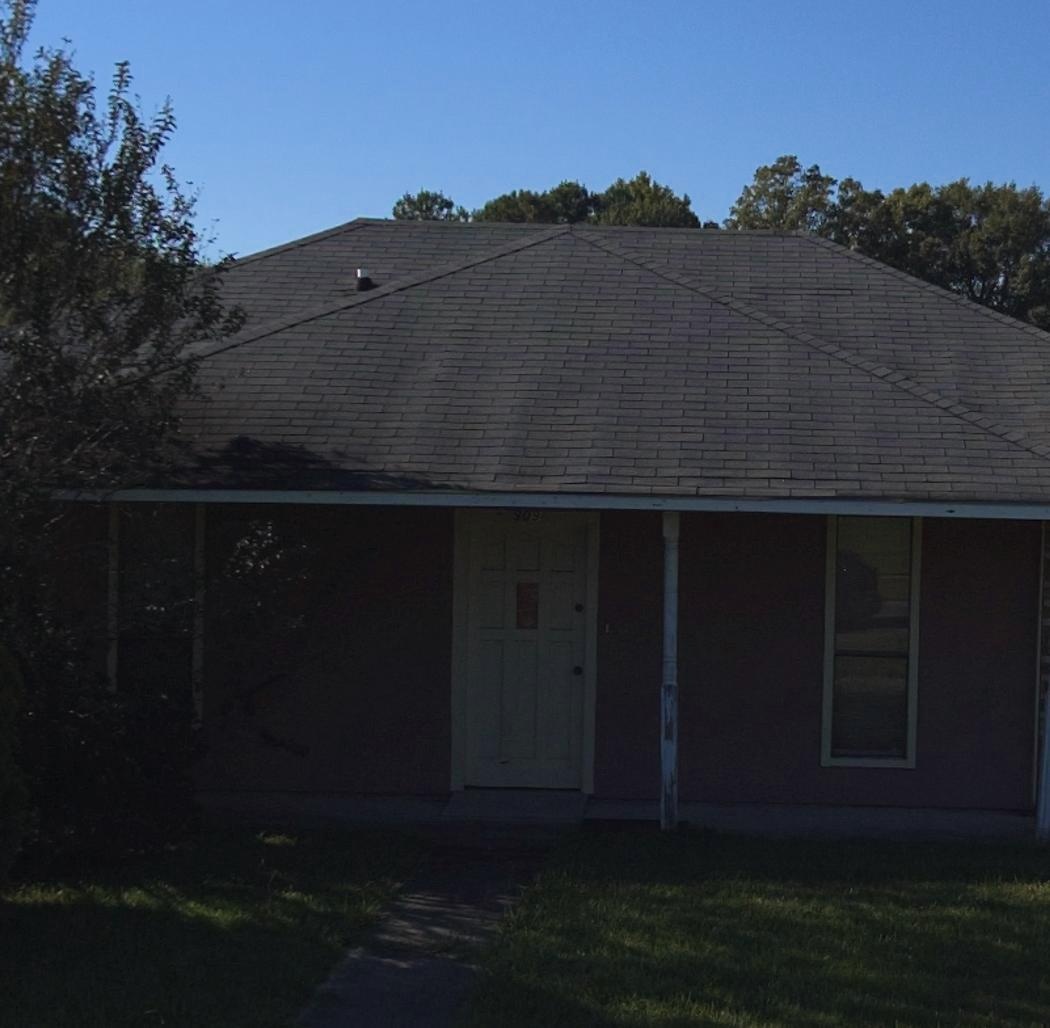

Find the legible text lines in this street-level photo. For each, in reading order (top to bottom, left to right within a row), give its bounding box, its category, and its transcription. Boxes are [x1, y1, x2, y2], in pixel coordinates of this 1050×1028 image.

[512, 509, 541, 521] StreetNumber: 909